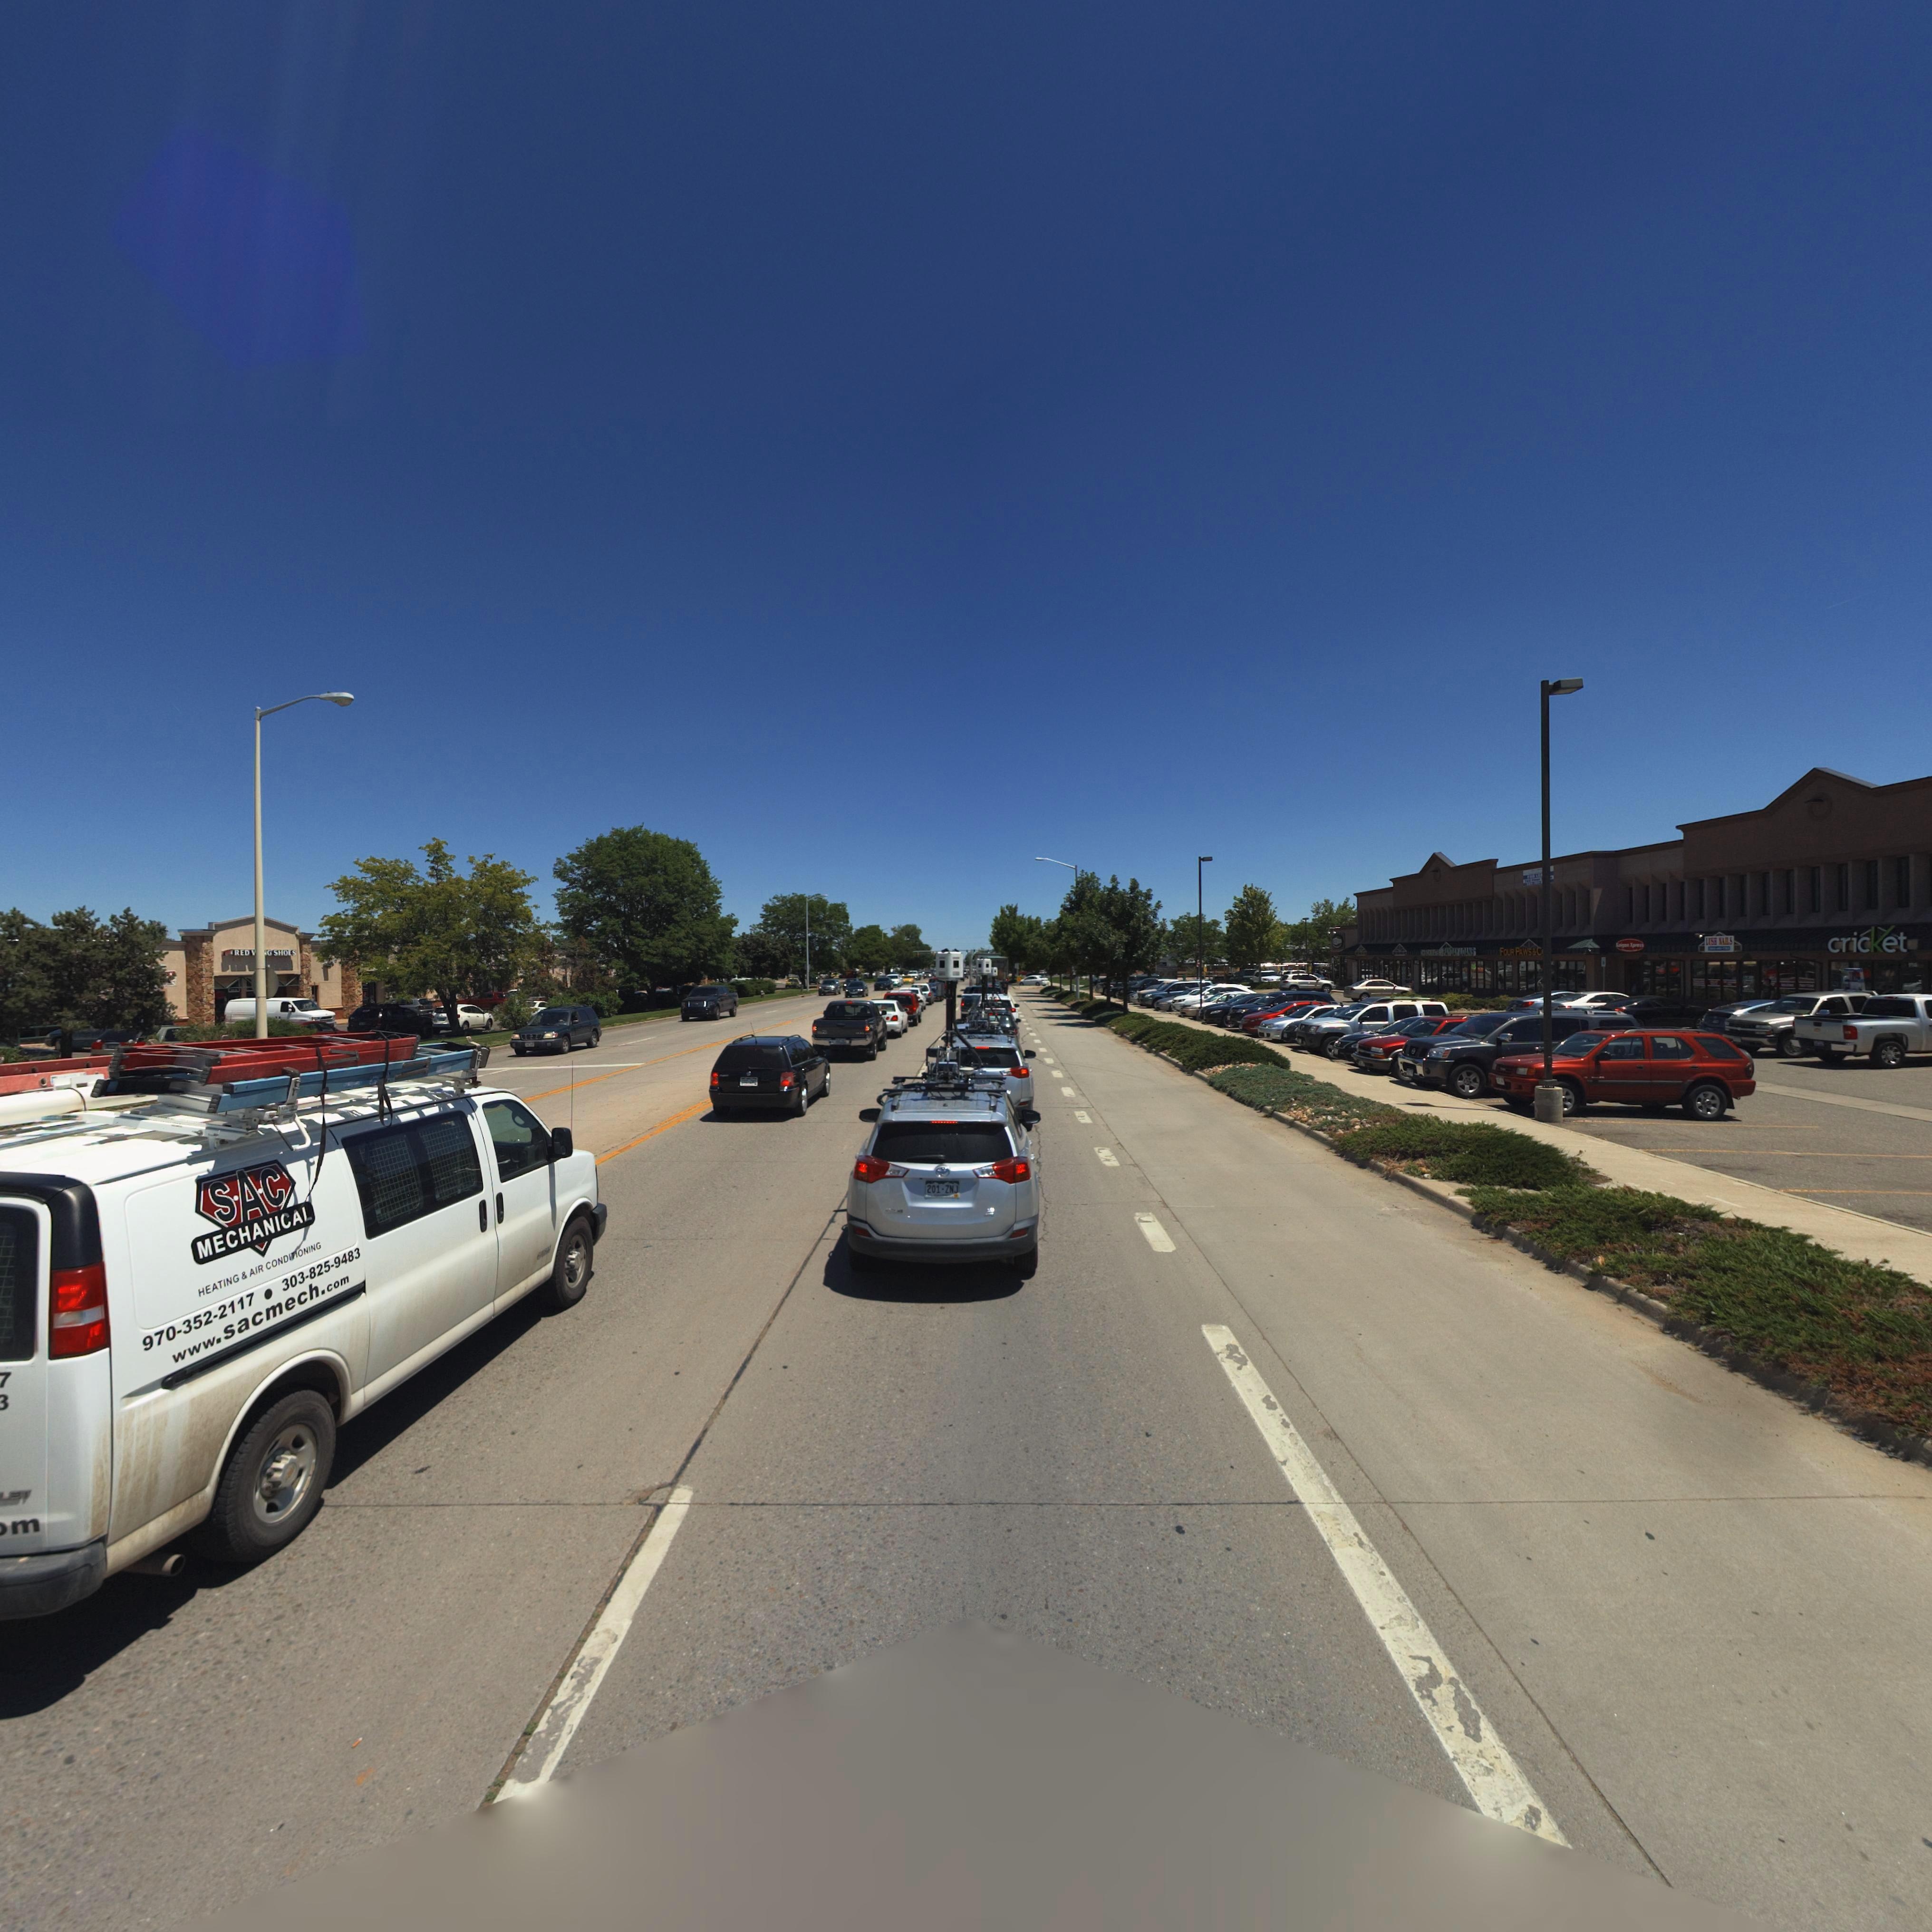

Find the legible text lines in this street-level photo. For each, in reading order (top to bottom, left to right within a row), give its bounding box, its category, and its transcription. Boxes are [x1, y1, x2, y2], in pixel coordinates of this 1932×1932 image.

[1615, 942, 1644, 948] BusinessName: Saigon Xpress
[1705, 936, 1733, 946] BusinessName: LUSH NAILS
[1826, 925, 1907, 954] BusinessName: cricKet
[233, 948, 297, 956] BusinessName: RED ***G SHOES
[1420, 947, 1475, 956] BusinessName: CHEKCMATE*PAYDAY LOANS
[1499, 946, 1545, 956] BusinessName: Four Paws*c